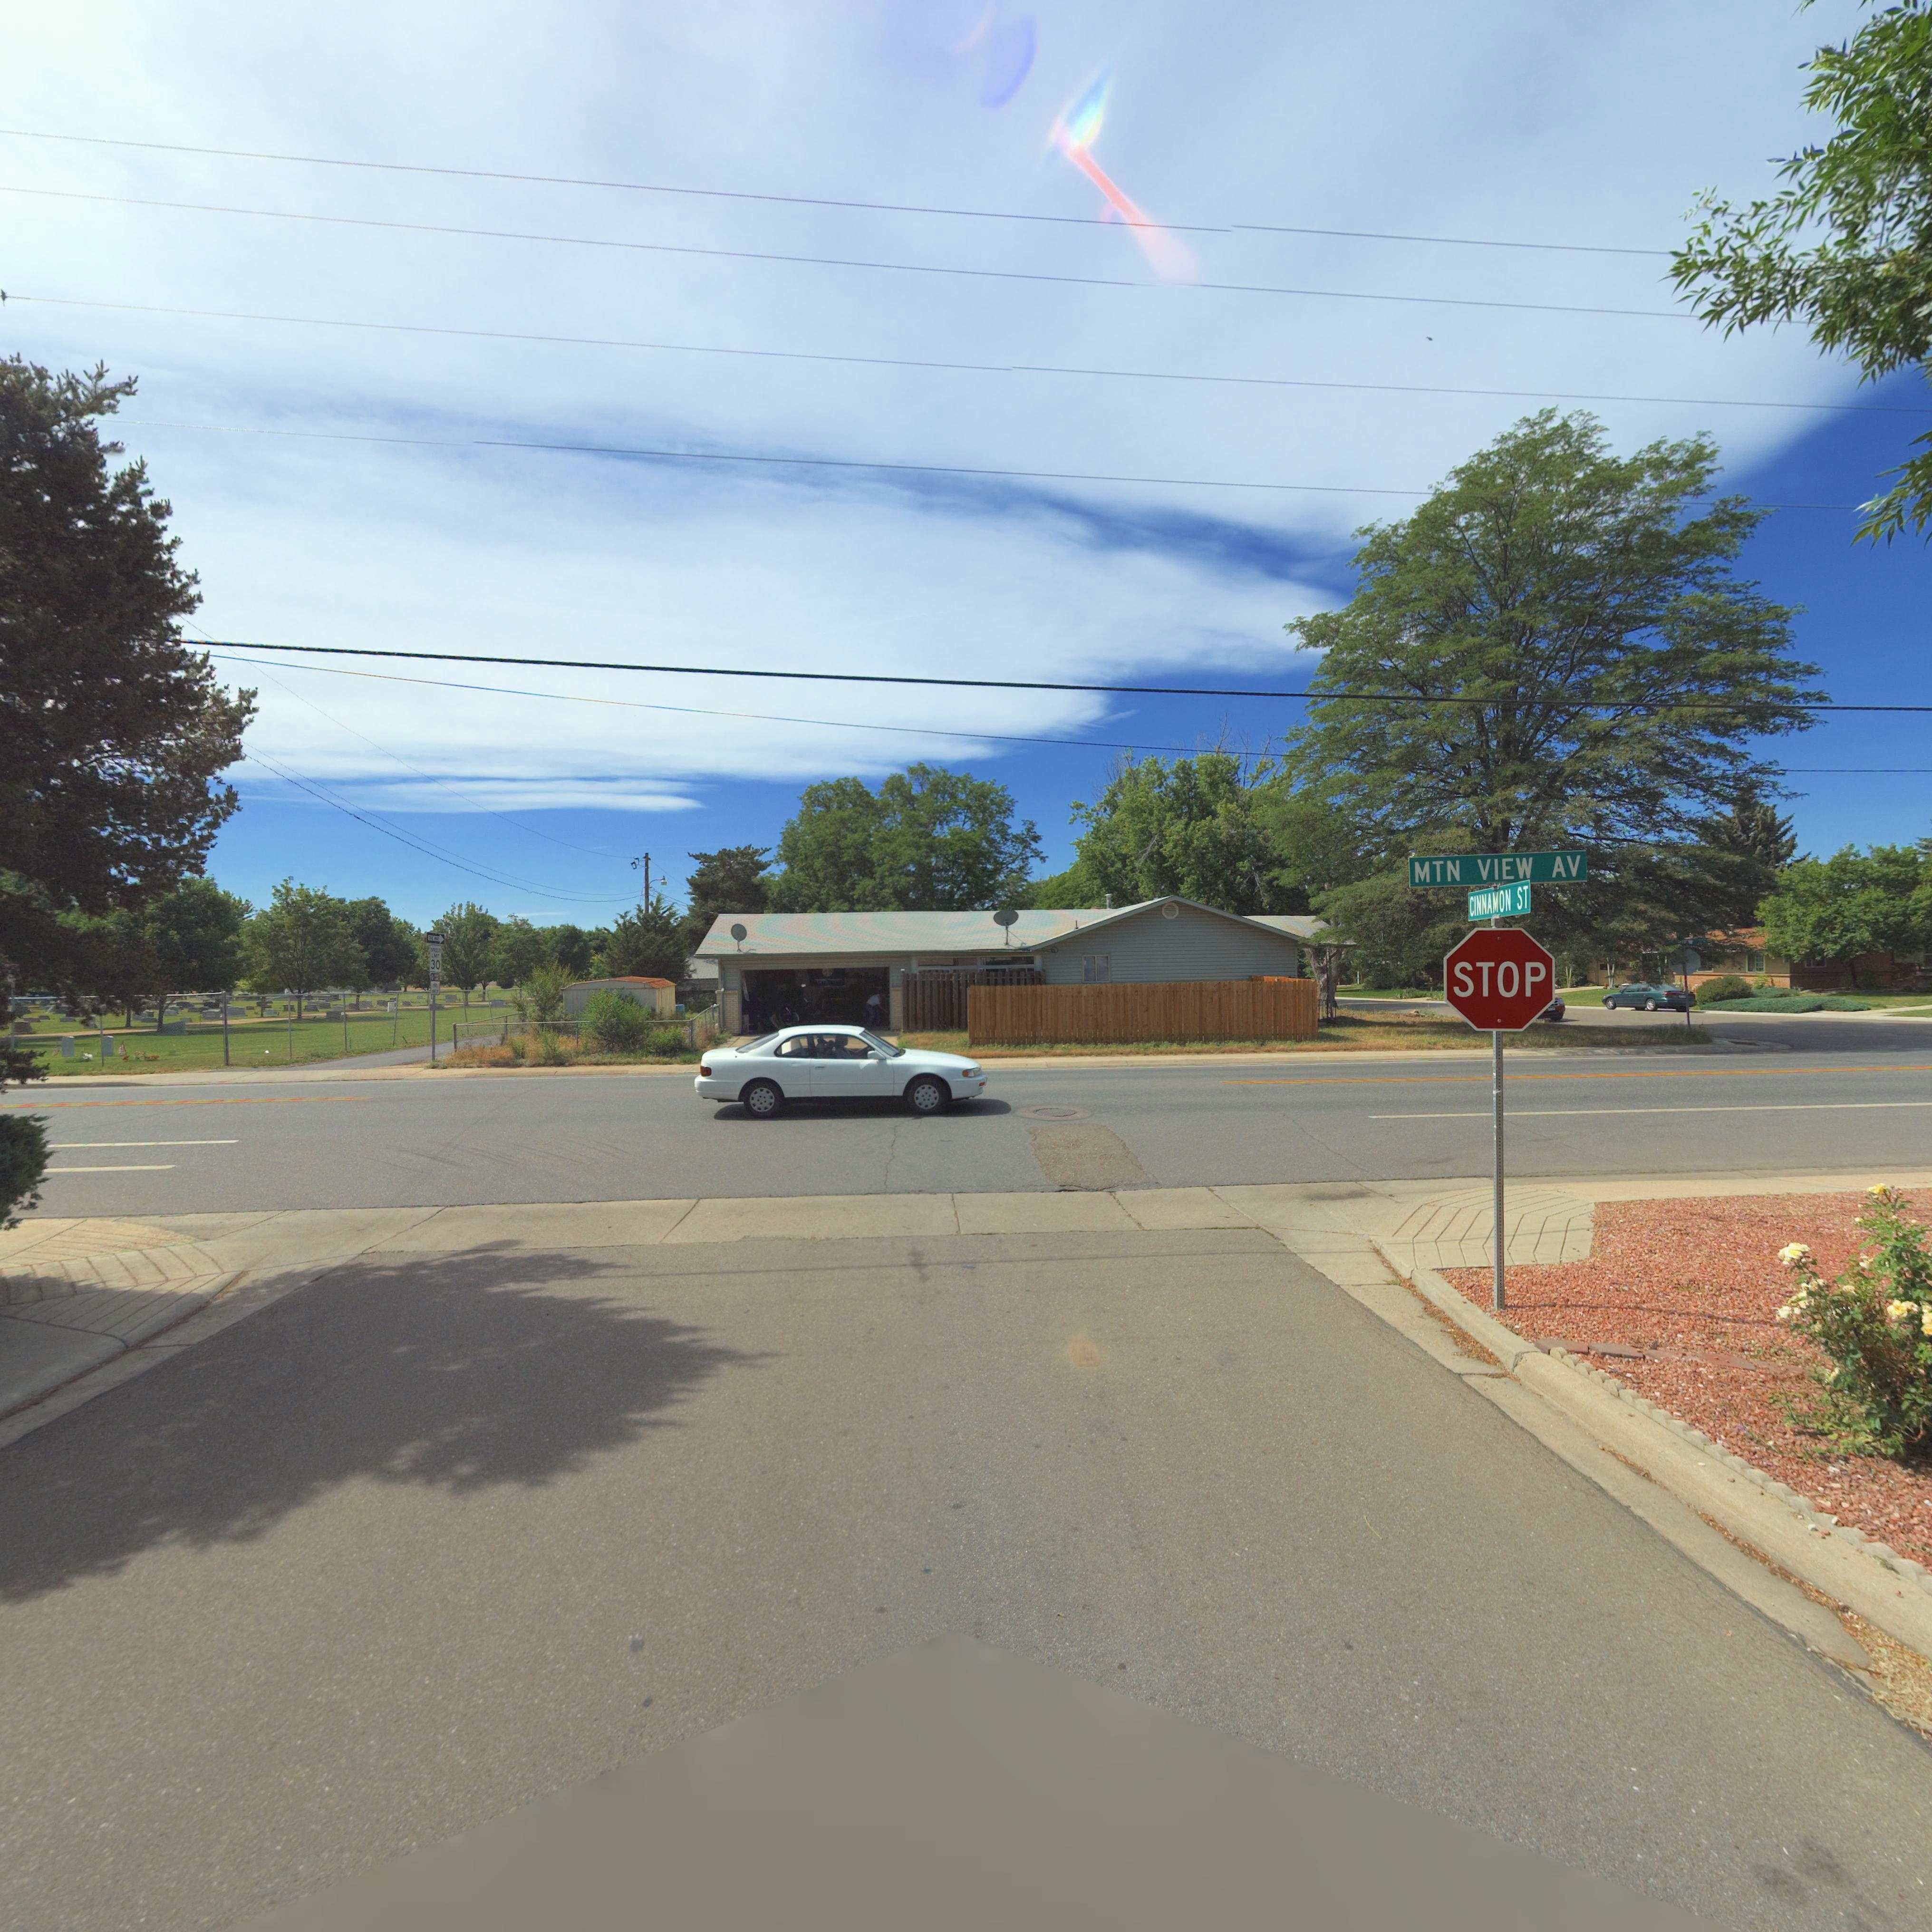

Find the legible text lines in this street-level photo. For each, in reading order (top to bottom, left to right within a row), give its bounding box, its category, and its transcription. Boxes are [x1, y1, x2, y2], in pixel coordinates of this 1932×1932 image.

[1414, 854, 1581, 883] StreetName: MTN VIEW AV
[1469, 885, 1528, 917] StreetName: CINNAMON ST